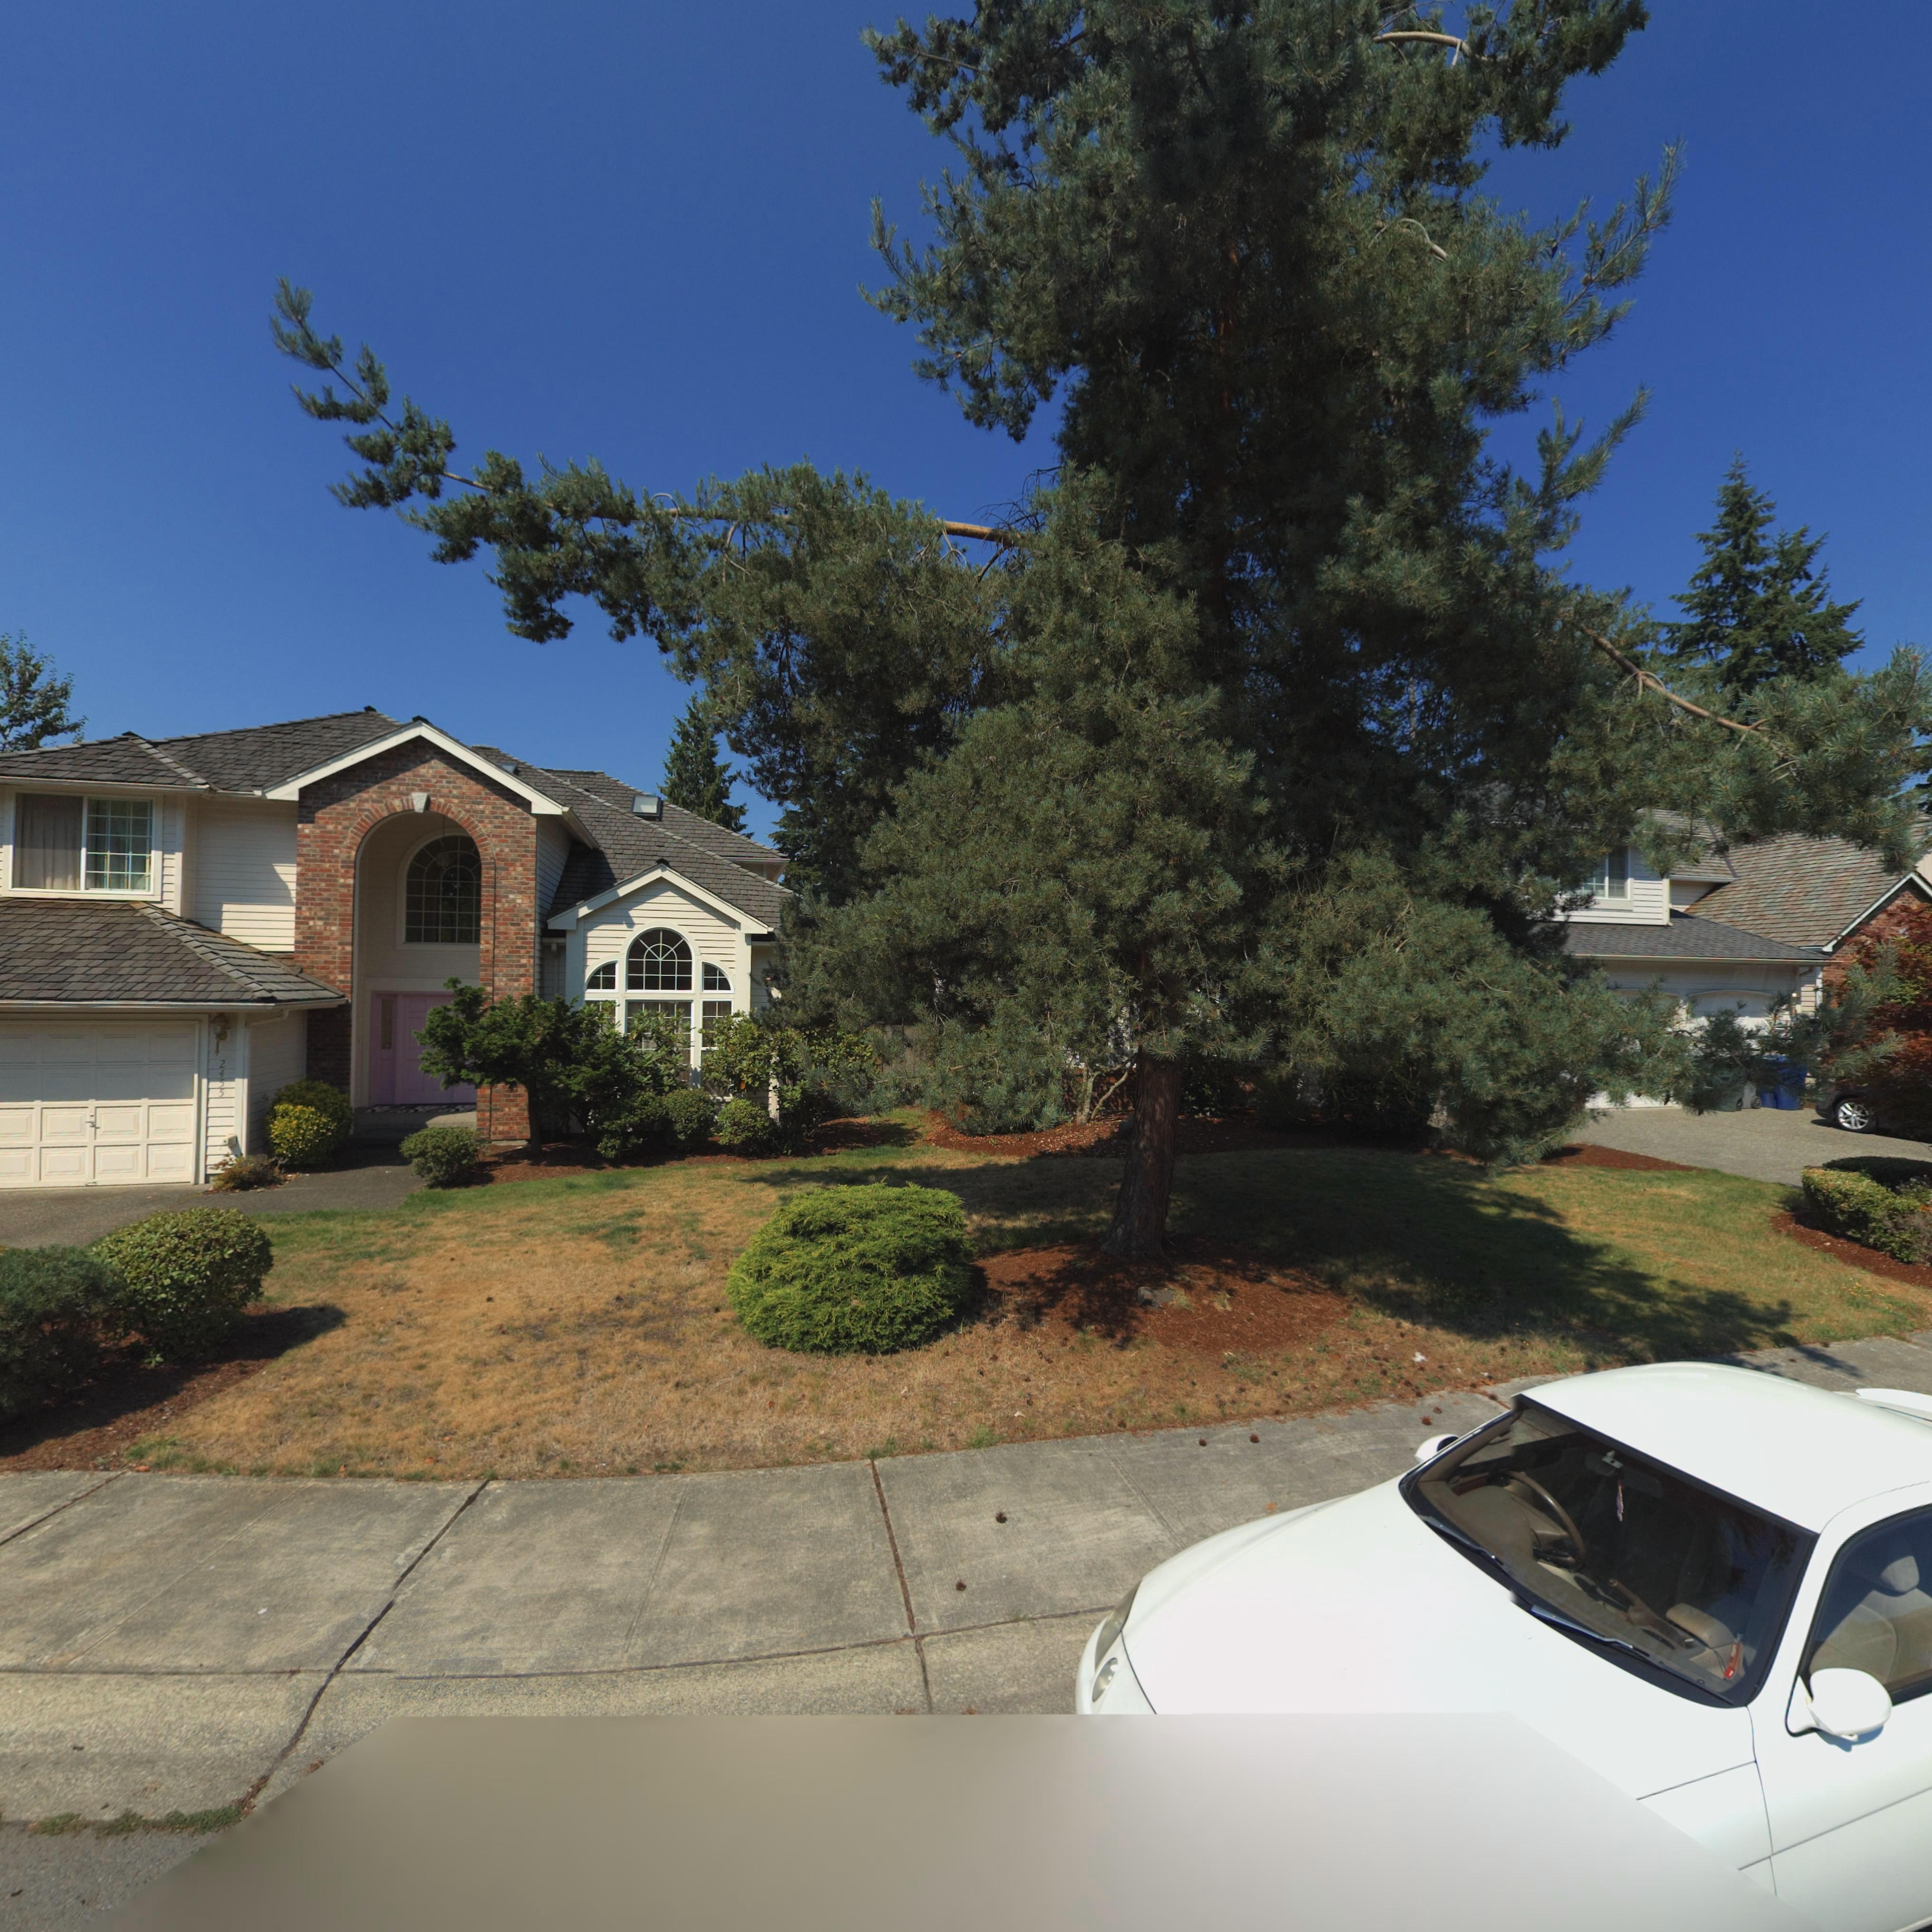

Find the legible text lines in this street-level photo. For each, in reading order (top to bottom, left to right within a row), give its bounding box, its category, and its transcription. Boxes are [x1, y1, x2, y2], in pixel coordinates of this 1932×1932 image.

[219, 1058, 225, 1097] StreetNumber: 2445